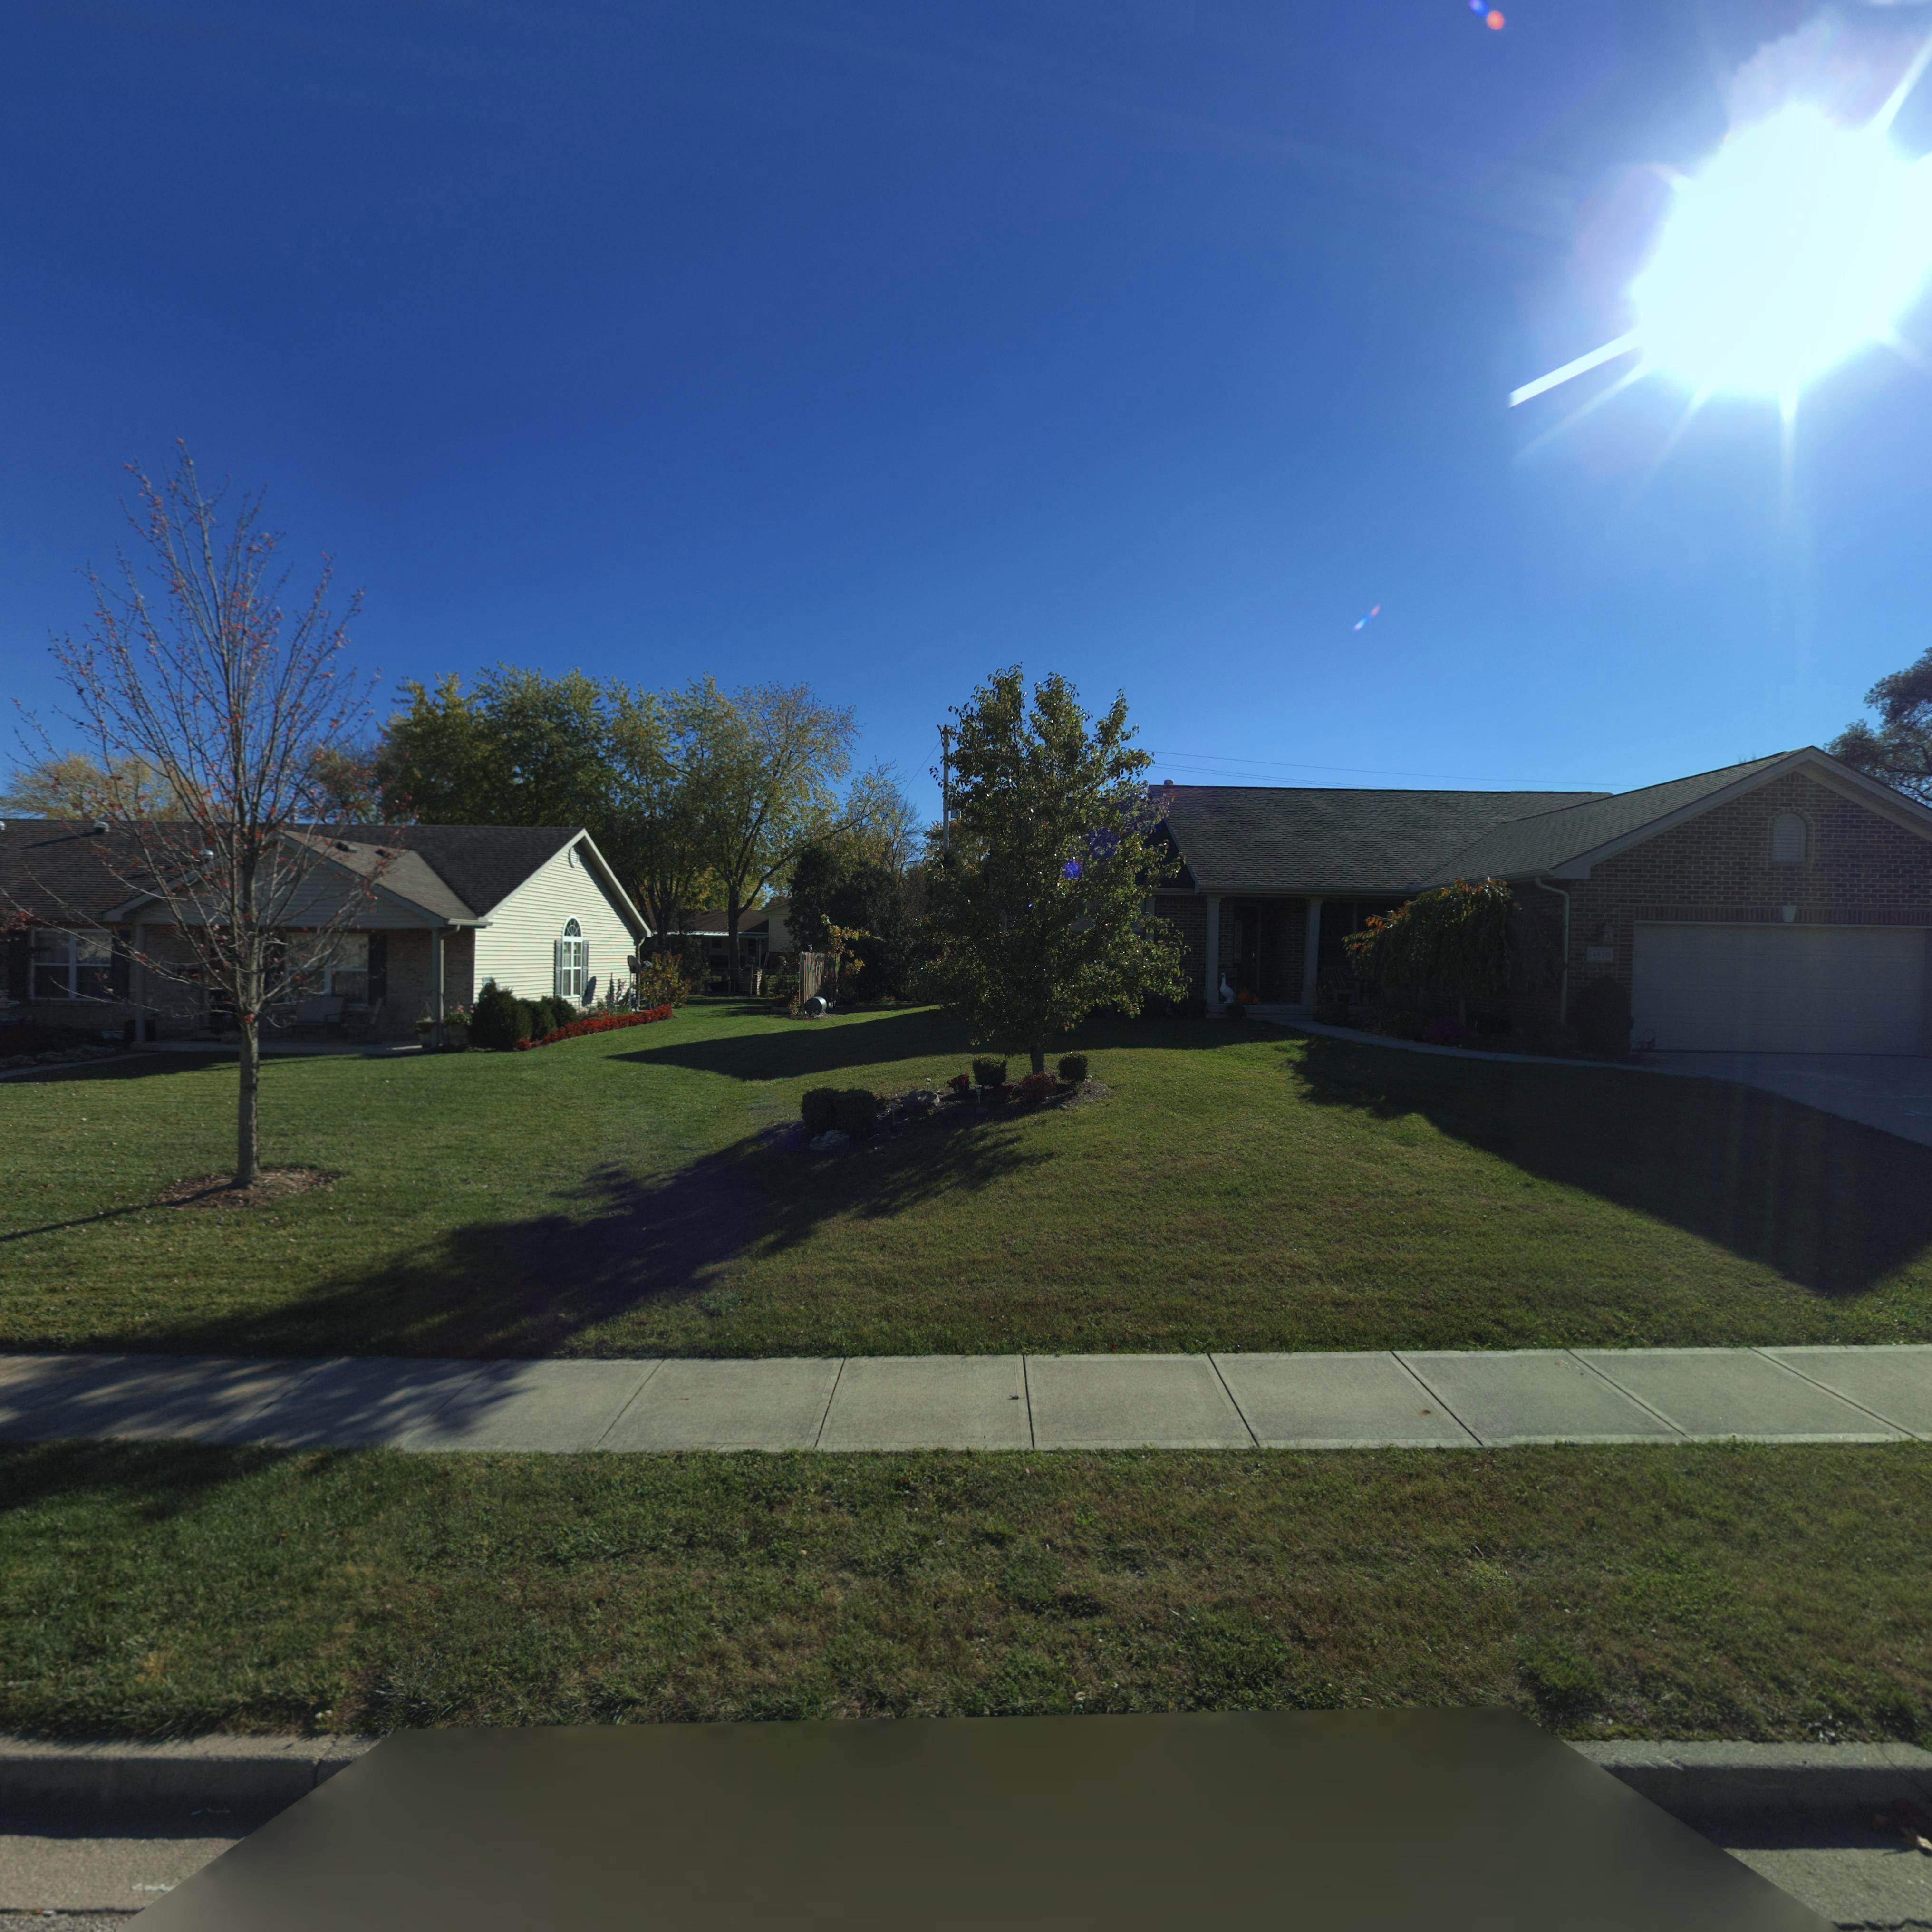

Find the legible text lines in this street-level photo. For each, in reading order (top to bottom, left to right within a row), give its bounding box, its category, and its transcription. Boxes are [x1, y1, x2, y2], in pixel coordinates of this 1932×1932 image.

[1590, 950, 1612, 960] StreetNumber: 4510